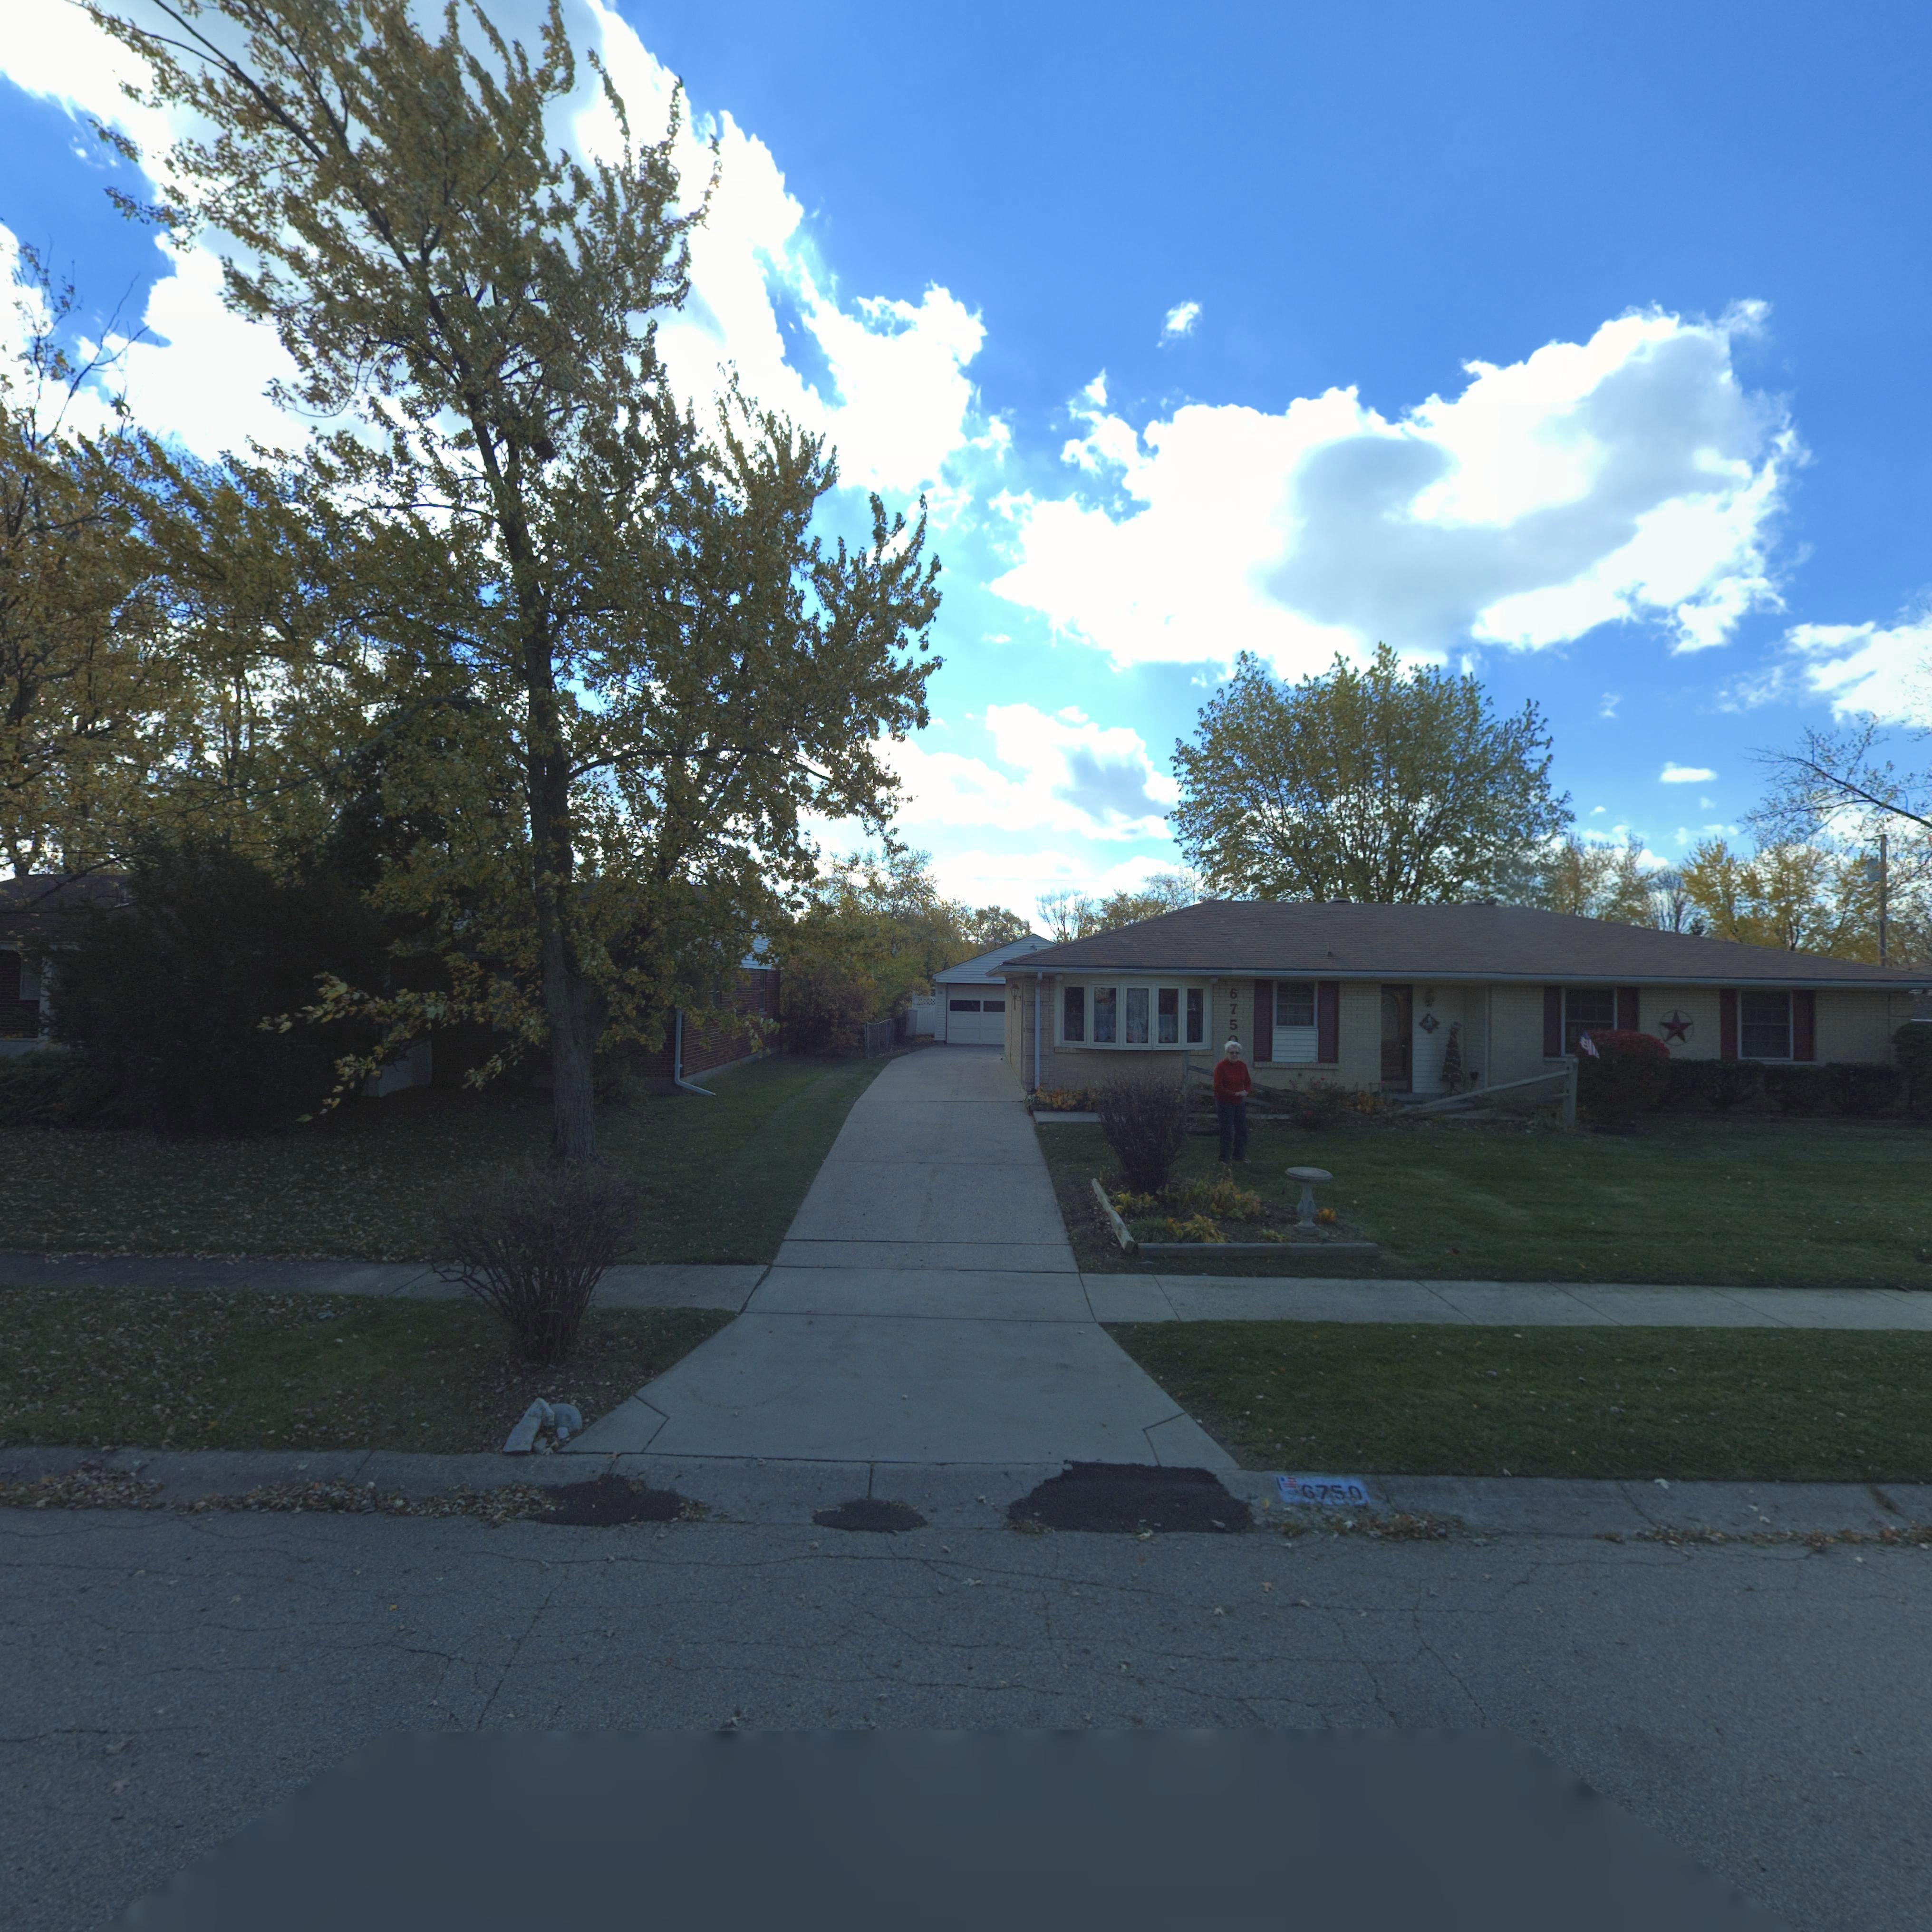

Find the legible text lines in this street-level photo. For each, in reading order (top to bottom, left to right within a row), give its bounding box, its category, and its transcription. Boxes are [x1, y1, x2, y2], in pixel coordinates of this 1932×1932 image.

[1229, 988, 1237, 1031] StreetNumber: 675
[1300, 1483, 1363, 1502] StreetNumber: 6750